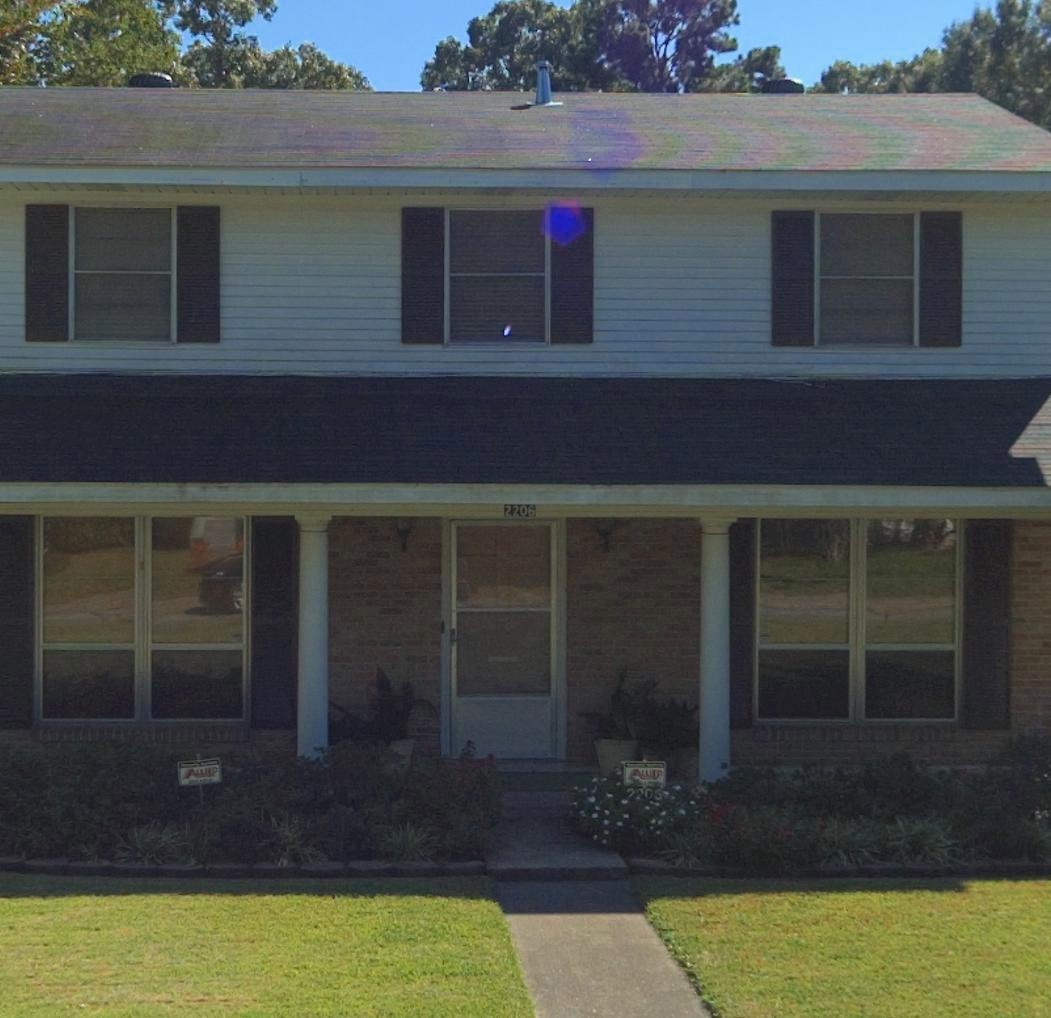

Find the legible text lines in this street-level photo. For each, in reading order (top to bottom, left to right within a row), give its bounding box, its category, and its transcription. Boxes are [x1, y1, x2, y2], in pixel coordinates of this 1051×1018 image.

[504, 504, 535, 517] StreetNumber: 2206
[626, 788, 663, 801] None: *206